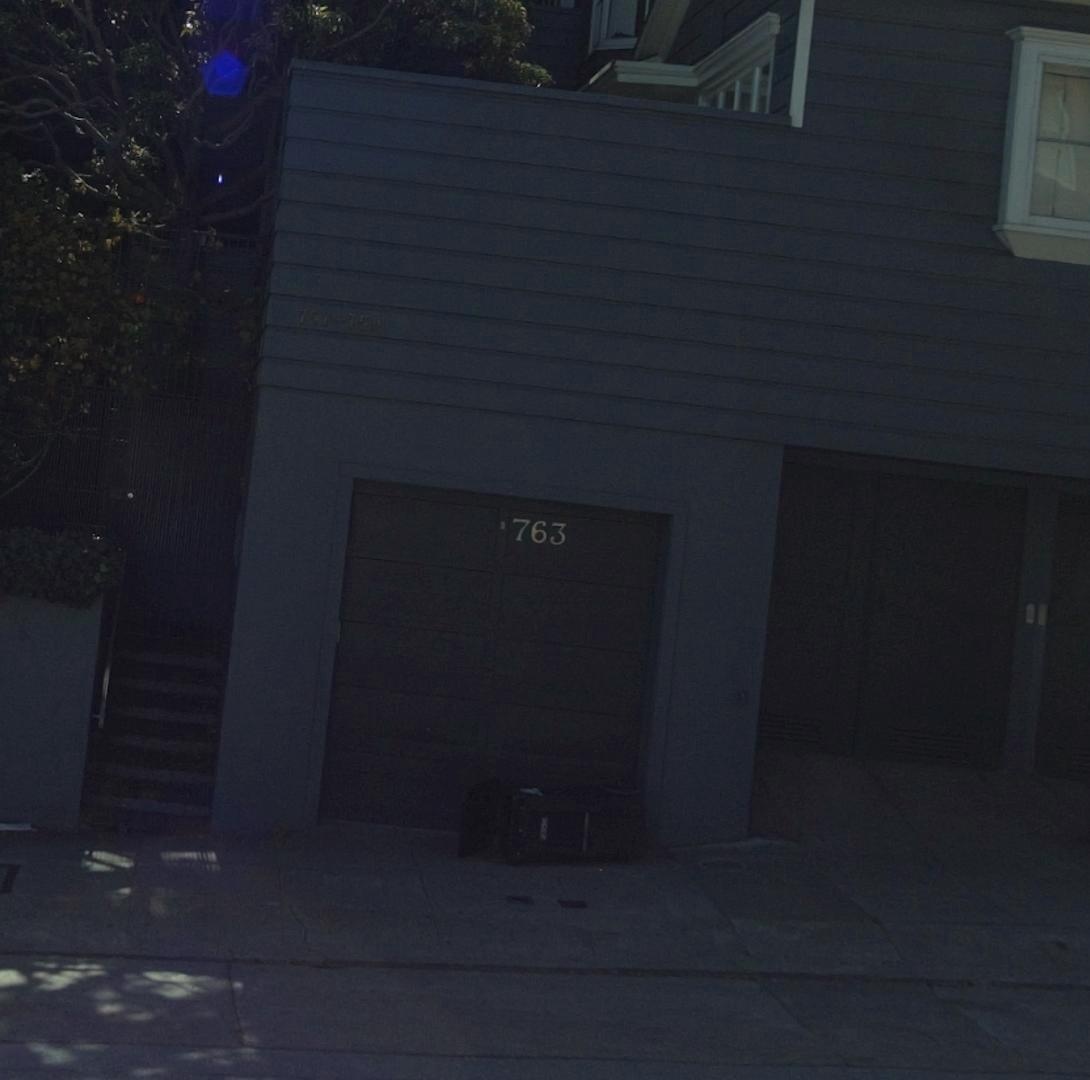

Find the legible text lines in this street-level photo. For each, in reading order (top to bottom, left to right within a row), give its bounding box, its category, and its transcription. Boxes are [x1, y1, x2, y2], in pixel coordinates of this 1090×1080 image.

[510, 515, 569, 548] StreetNumber: 763